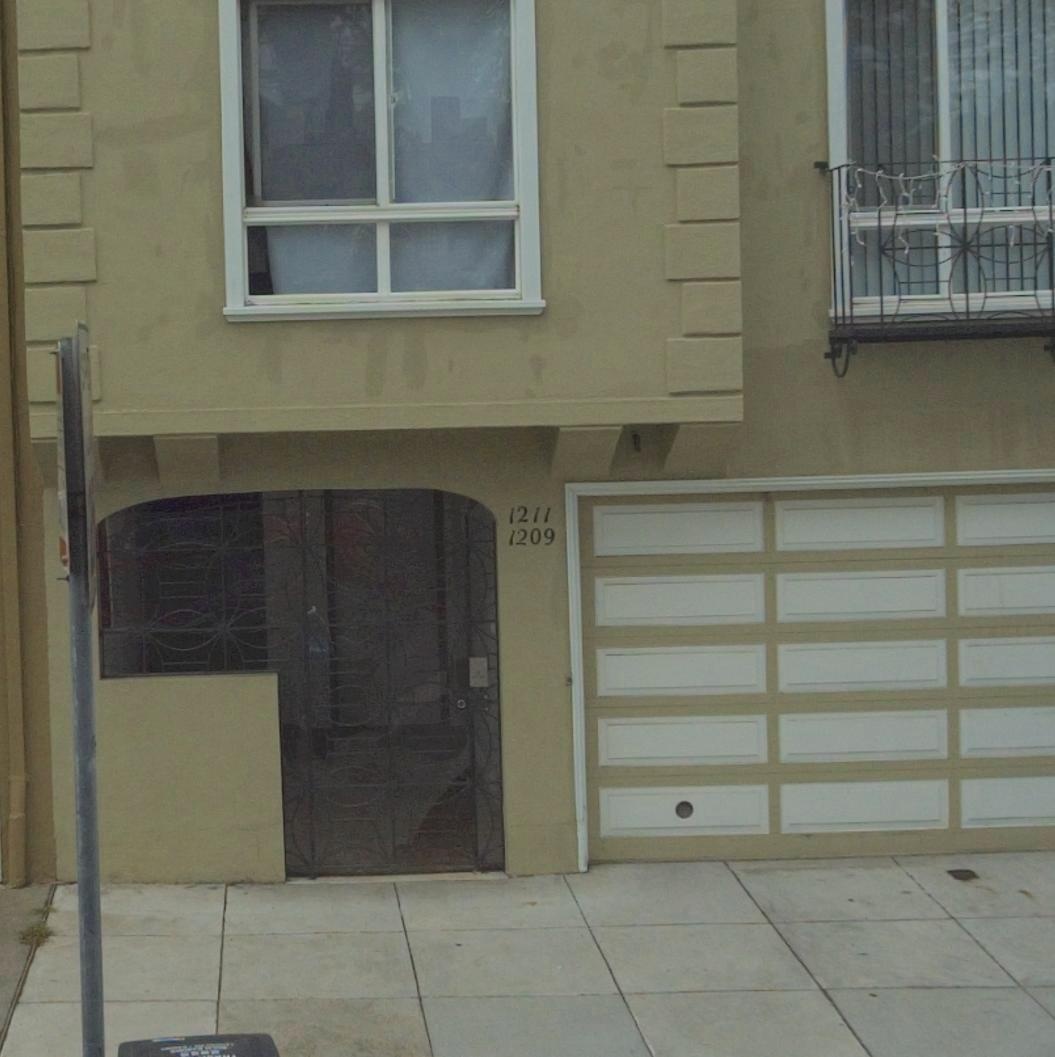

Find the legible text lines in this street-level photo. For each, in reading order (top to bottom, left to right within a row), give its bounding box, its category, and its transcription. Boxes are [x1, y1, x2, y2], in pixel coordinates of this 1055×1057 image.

[509, 504, 554, 525] StreetNumber: 1211
[506, 527, 556, 546] StreetNumber: 1209